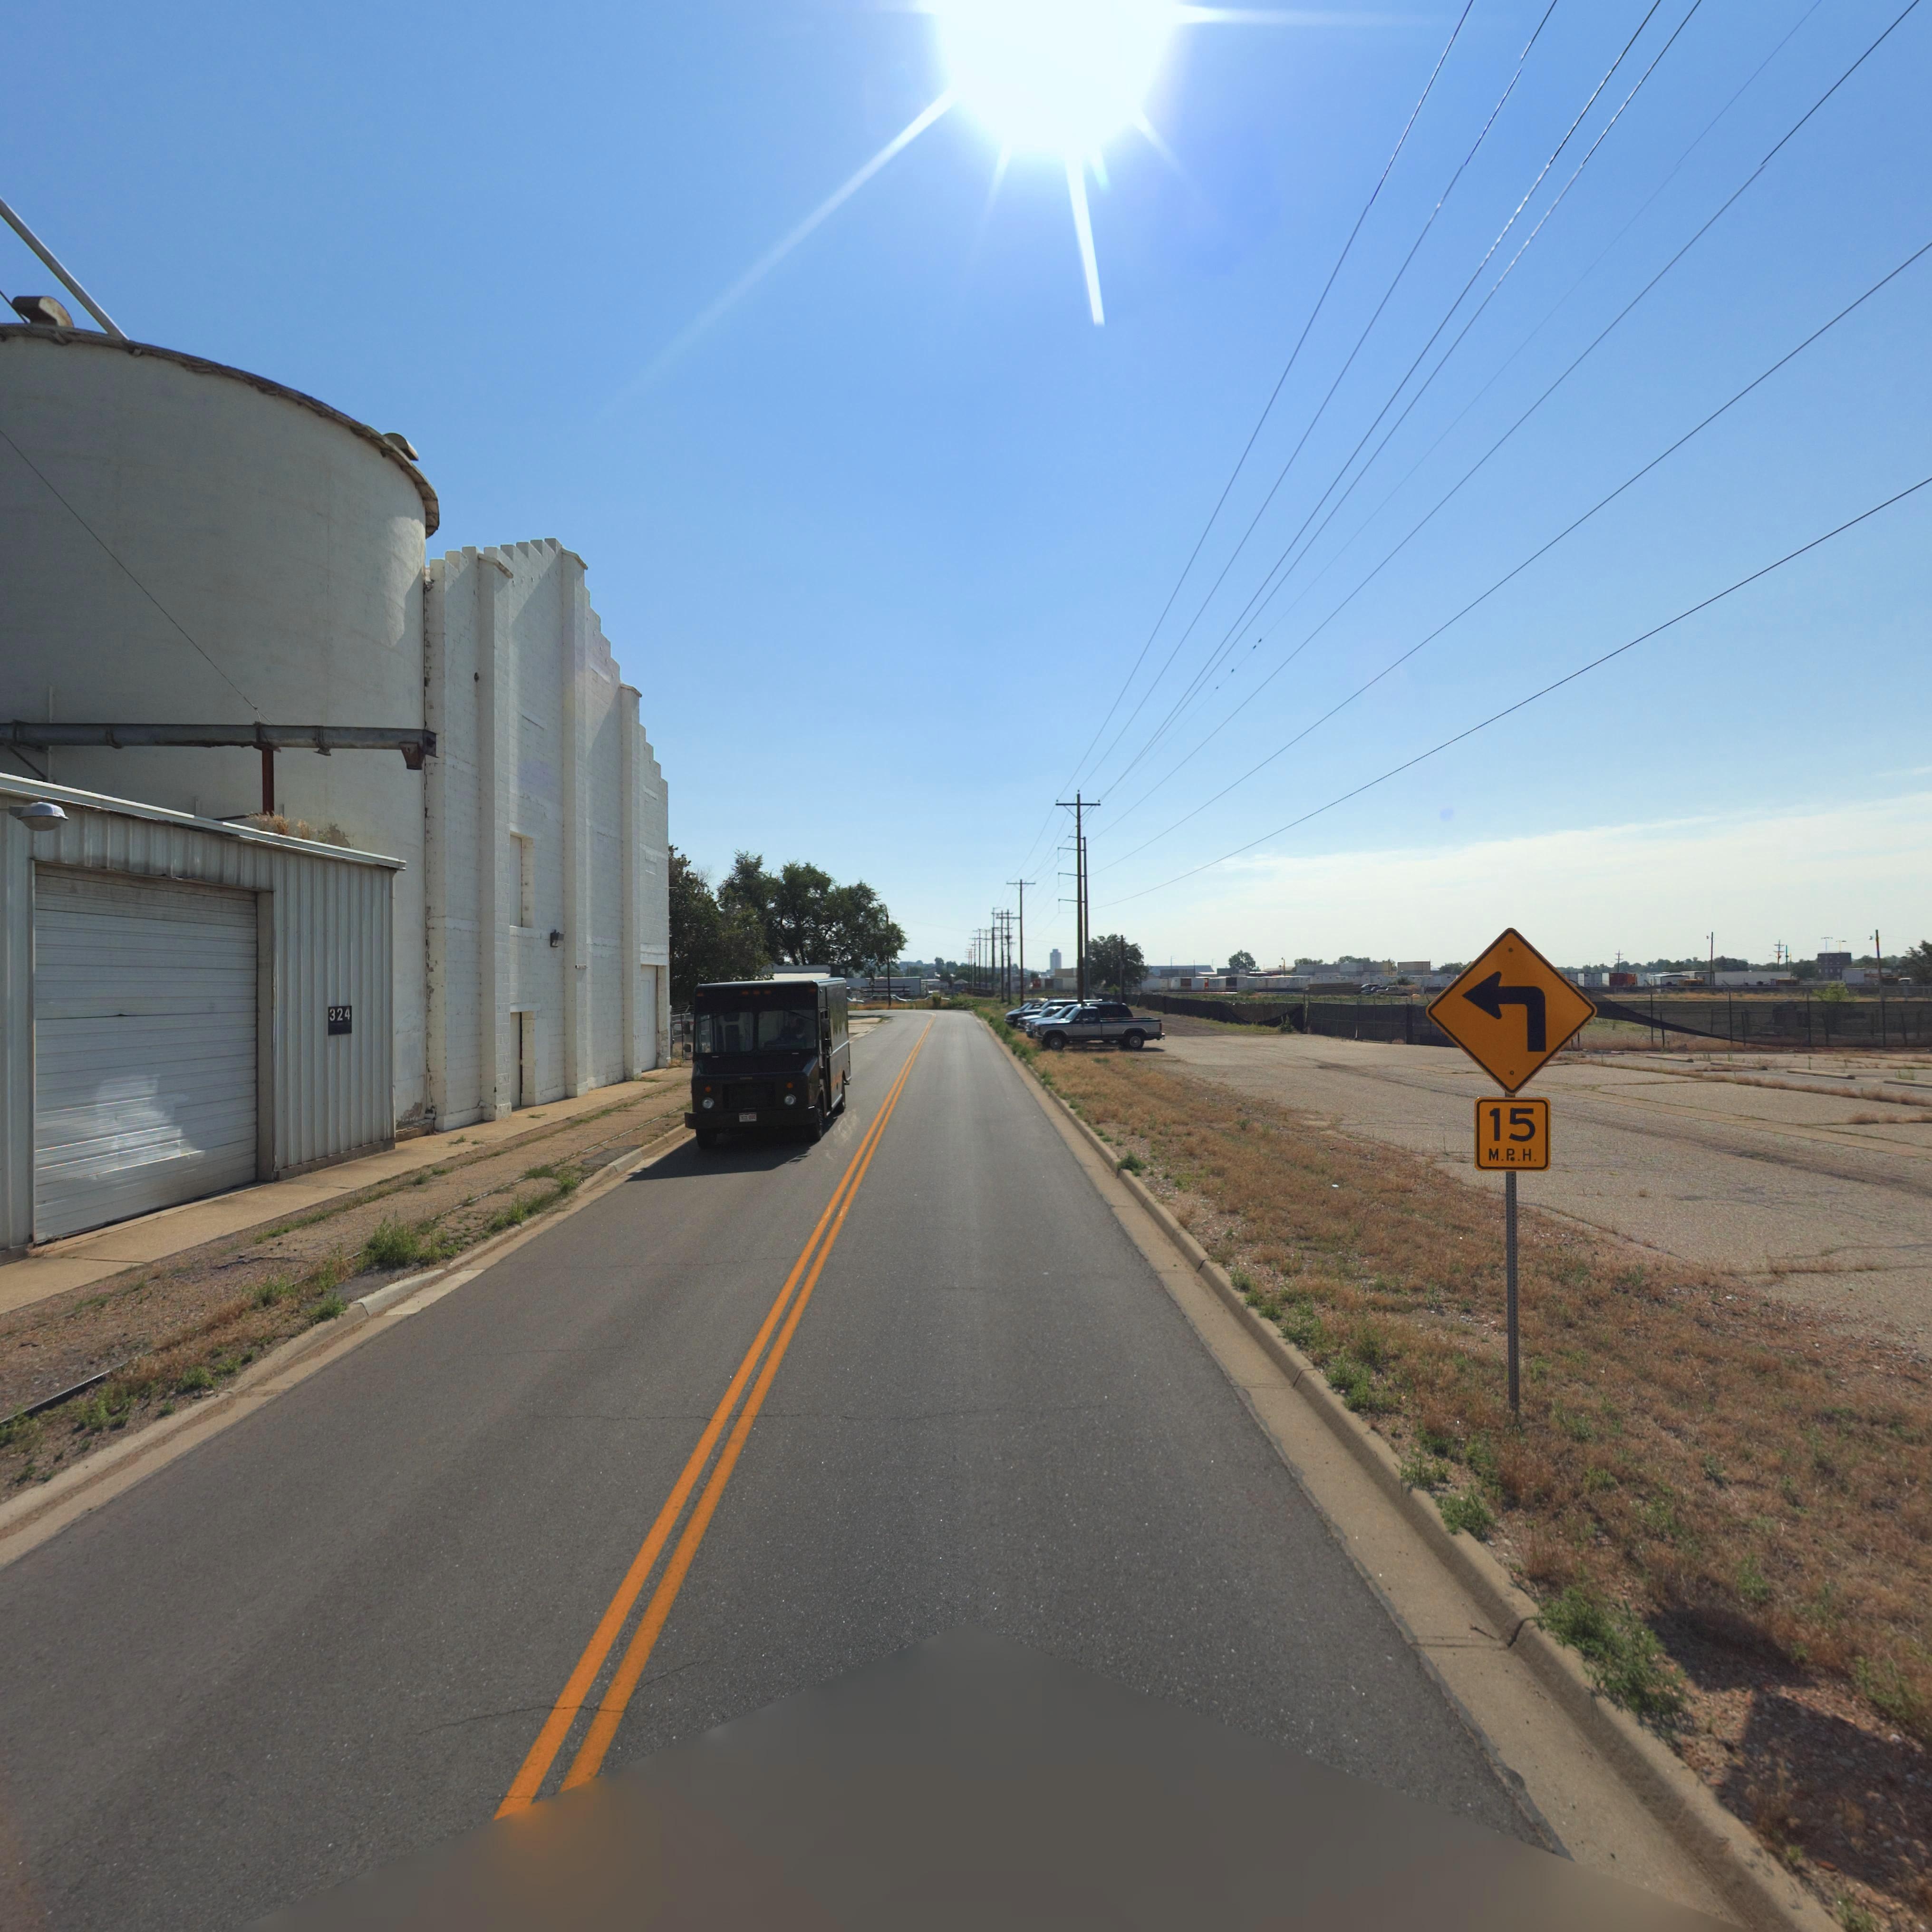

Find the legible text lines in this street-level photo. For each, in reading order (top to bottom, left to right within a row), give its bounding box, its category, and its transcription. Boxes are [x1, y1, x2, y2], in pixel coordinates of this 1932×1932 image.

[328, 1007, 350, 1021] StreetNumber: 324